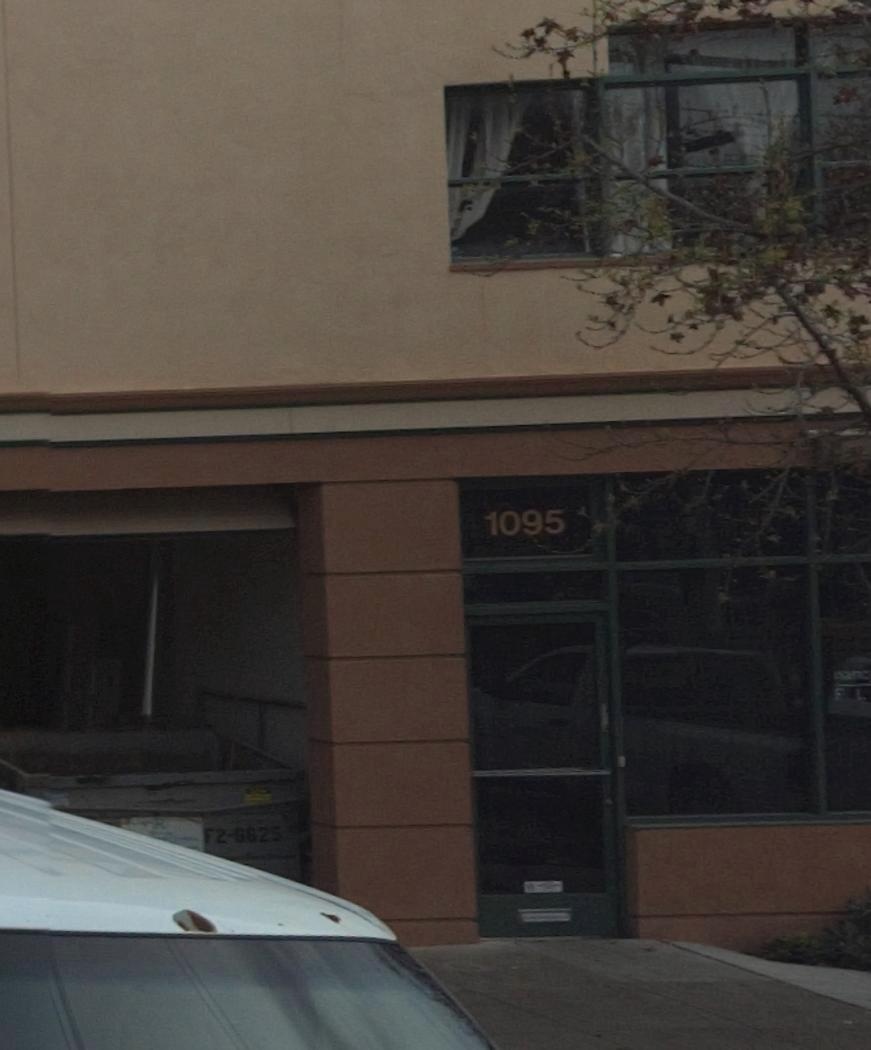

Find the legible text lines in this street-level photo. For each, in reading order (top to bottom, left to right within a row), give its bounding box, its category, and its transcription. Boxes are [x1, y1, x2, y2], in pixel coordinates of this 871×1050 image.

[483, 508, 567, 537] StreetNumber: 1095
[202, 825, 287, 844] None: F2-6825